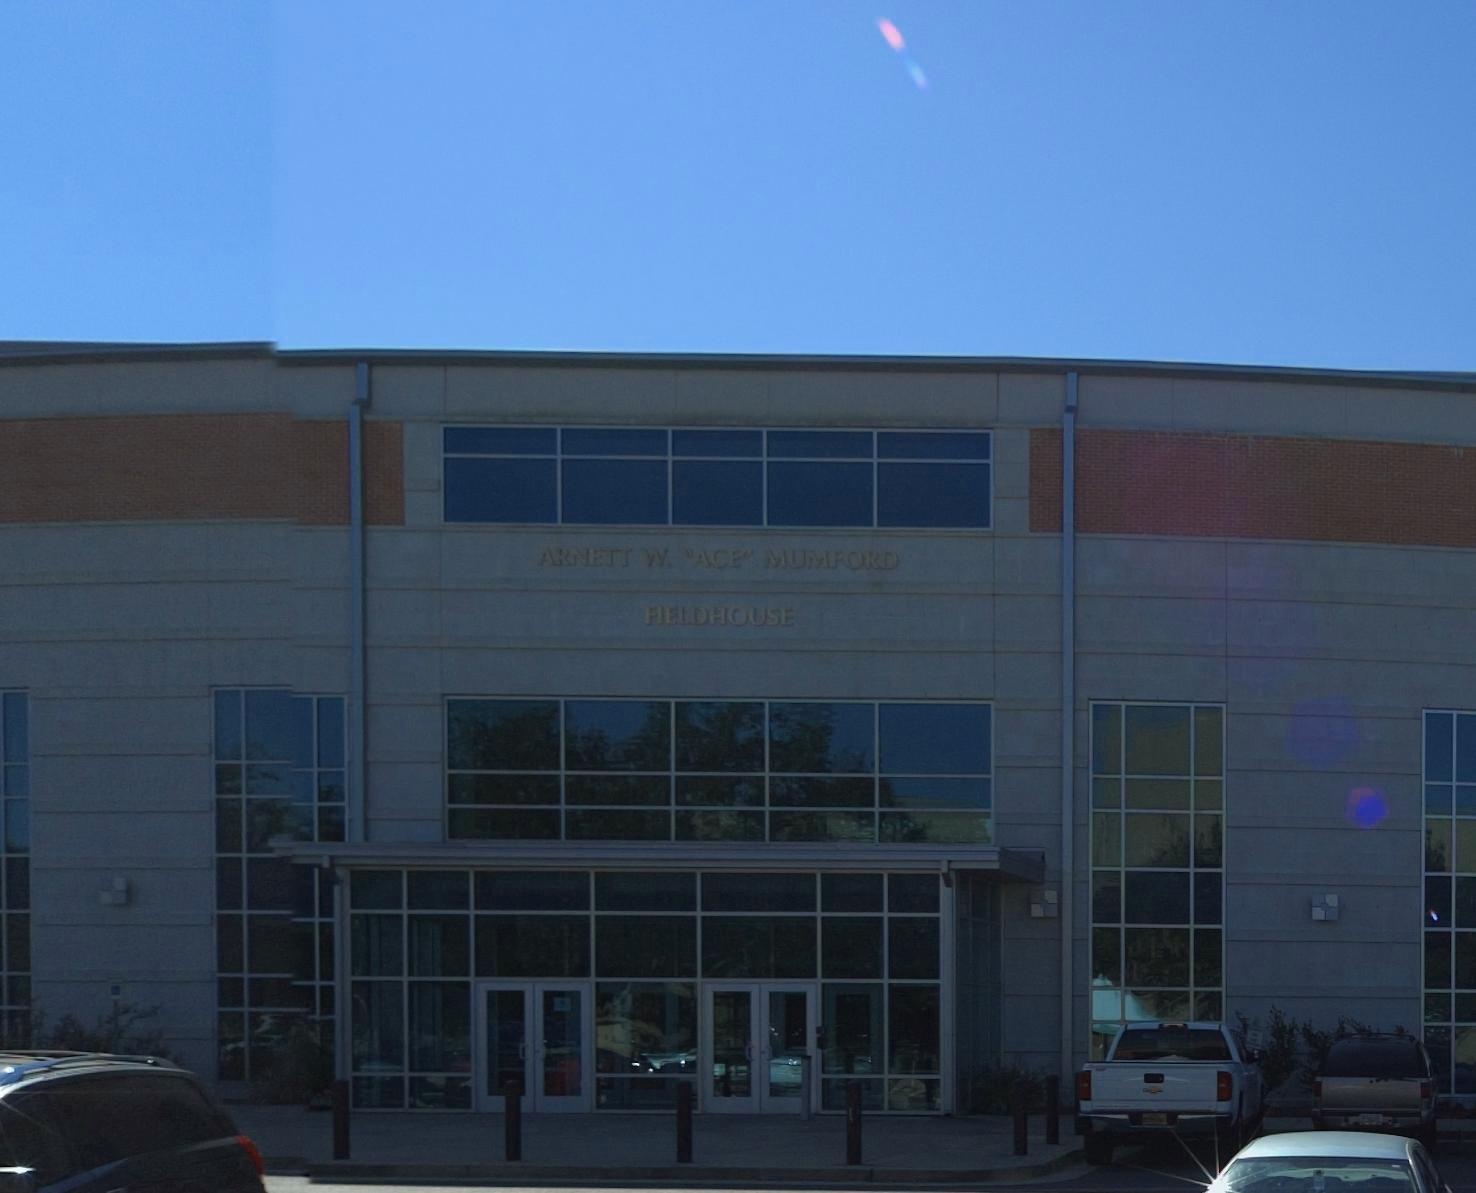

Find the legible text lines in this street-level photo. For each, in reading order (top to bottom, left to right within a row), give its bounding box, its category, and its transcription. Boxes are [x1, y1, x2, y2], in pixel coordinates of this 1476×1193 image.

[534, 543, 903, 571] BusinessName: ARNETT W. "ACE" MUMFORD
[641, 603, 797, 630] BusinessName: FIELDHOUSE